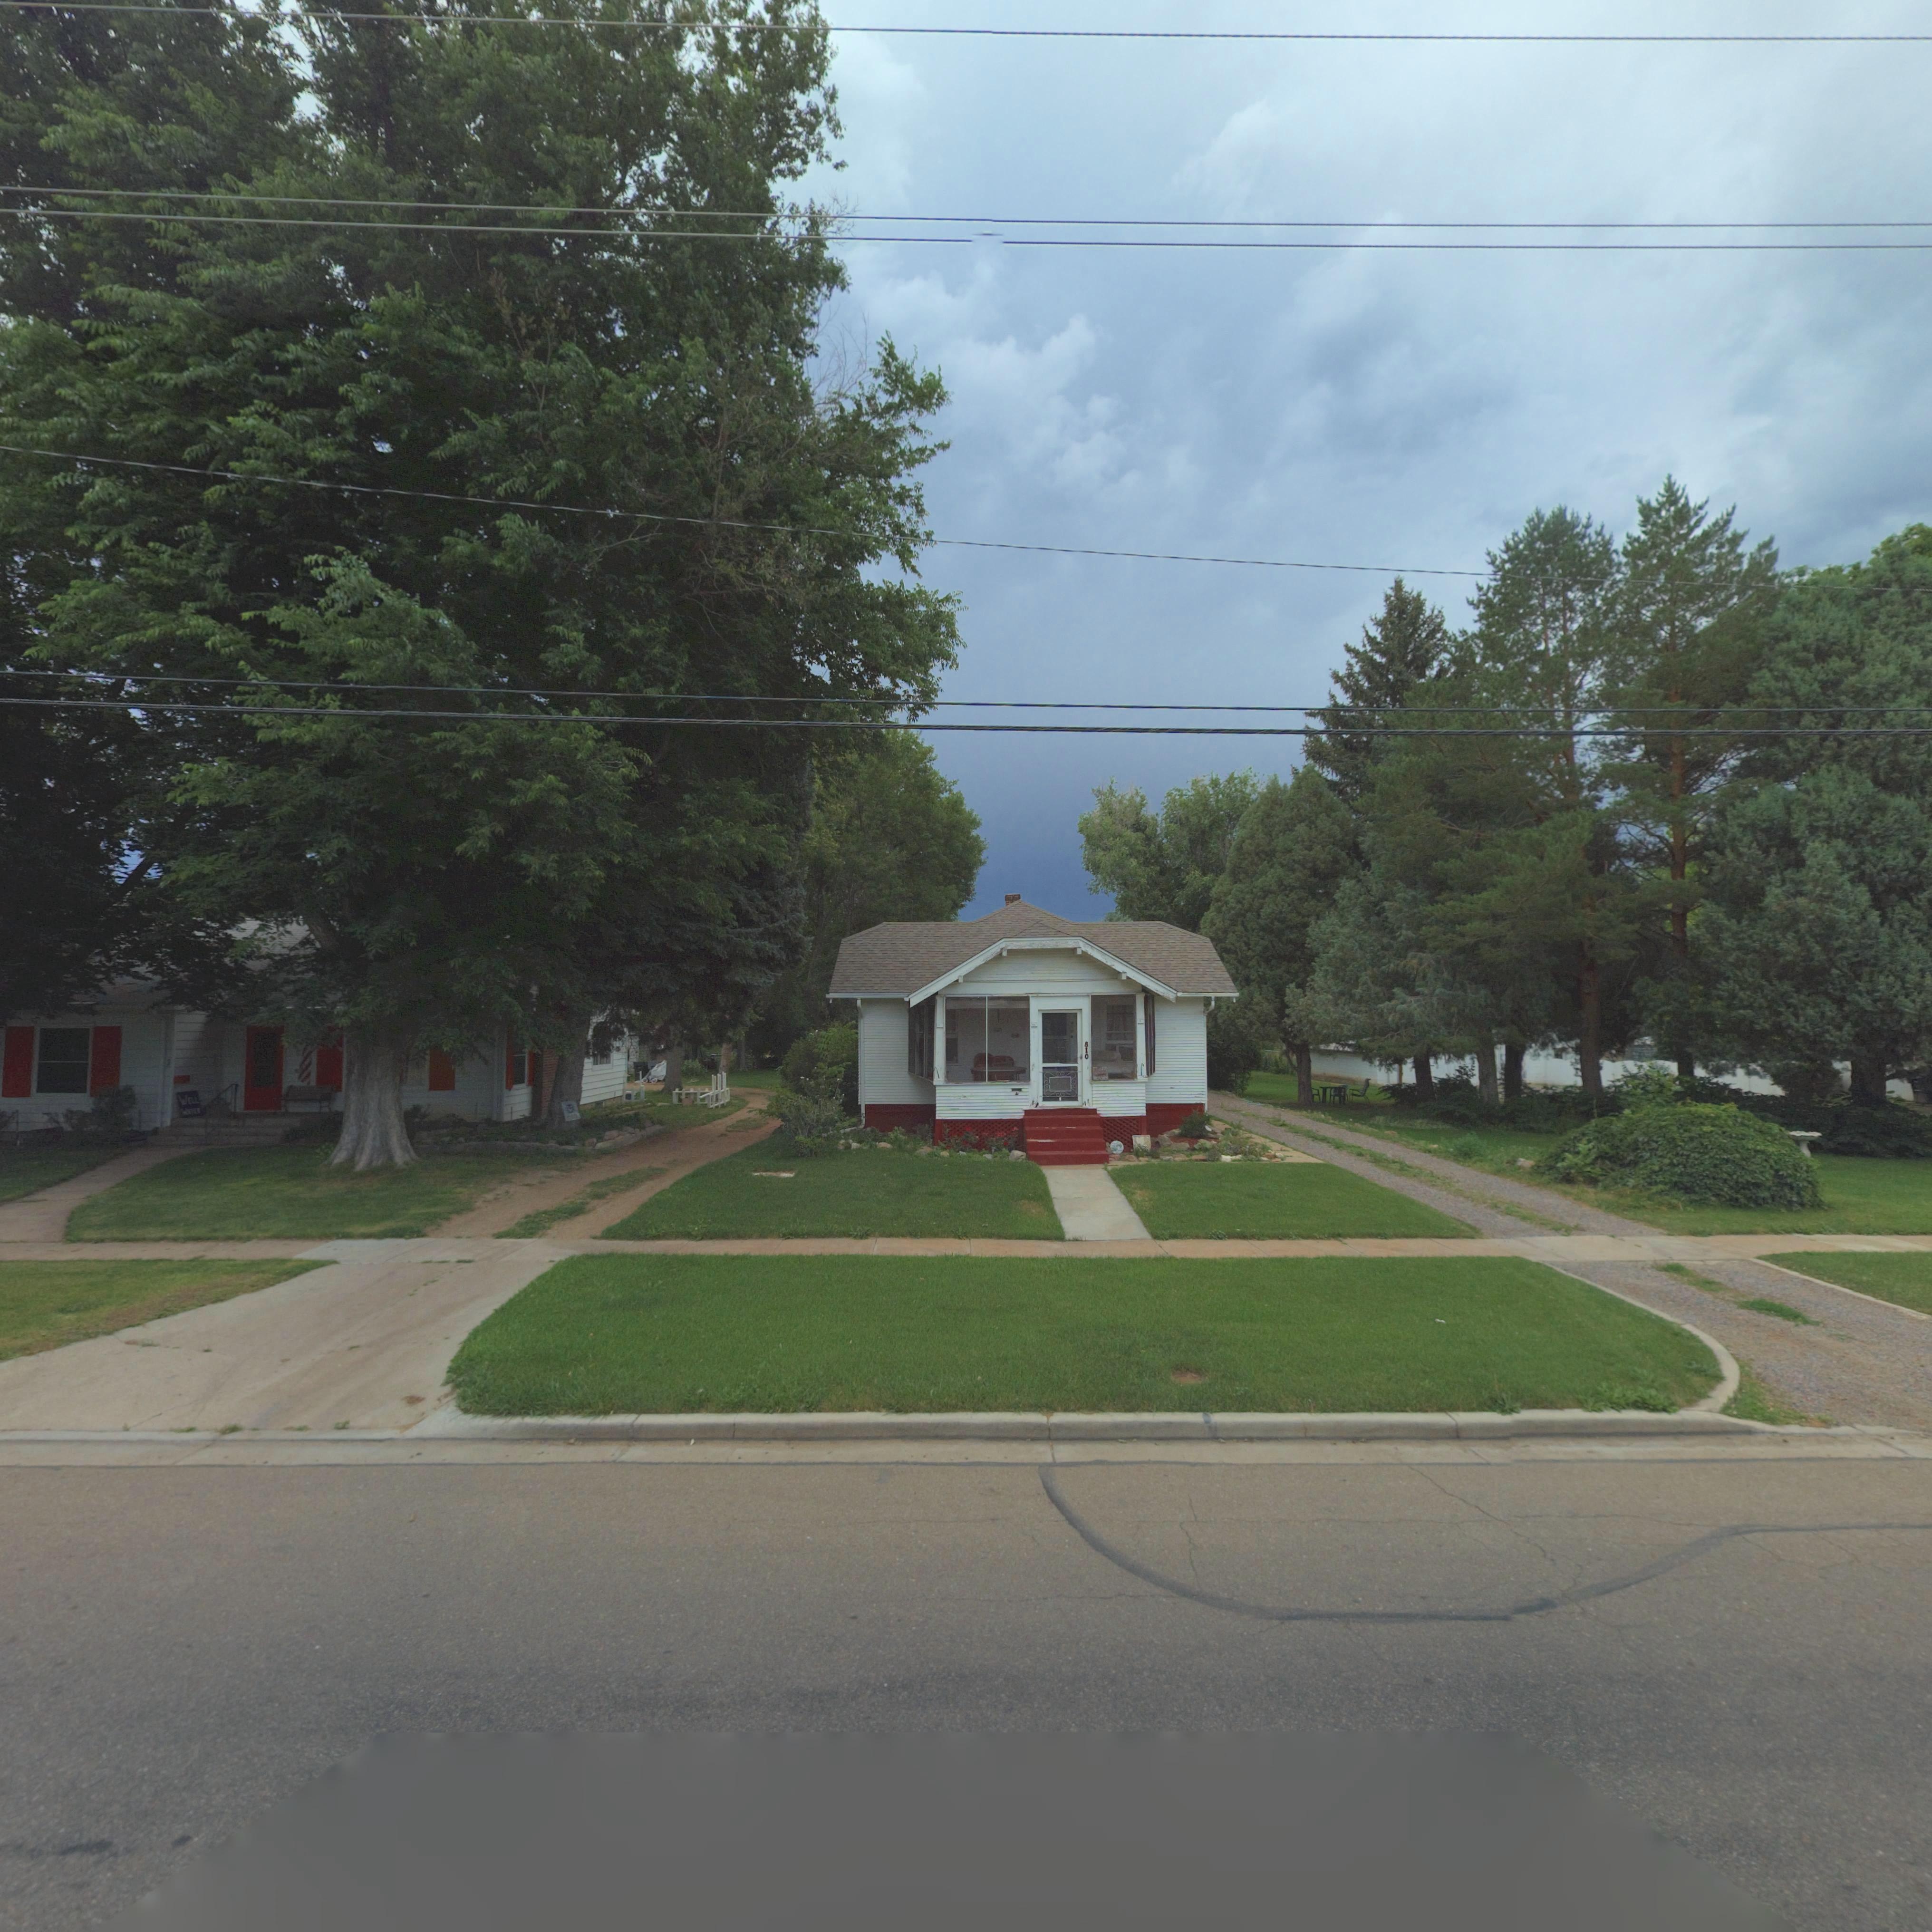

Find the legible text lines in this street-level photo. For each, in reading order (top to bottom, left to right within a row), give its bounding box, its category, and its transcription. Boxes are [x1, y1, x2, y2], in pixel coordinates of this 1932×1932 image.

[1084, 1041, 1089, 1060] StreetNumber: 810